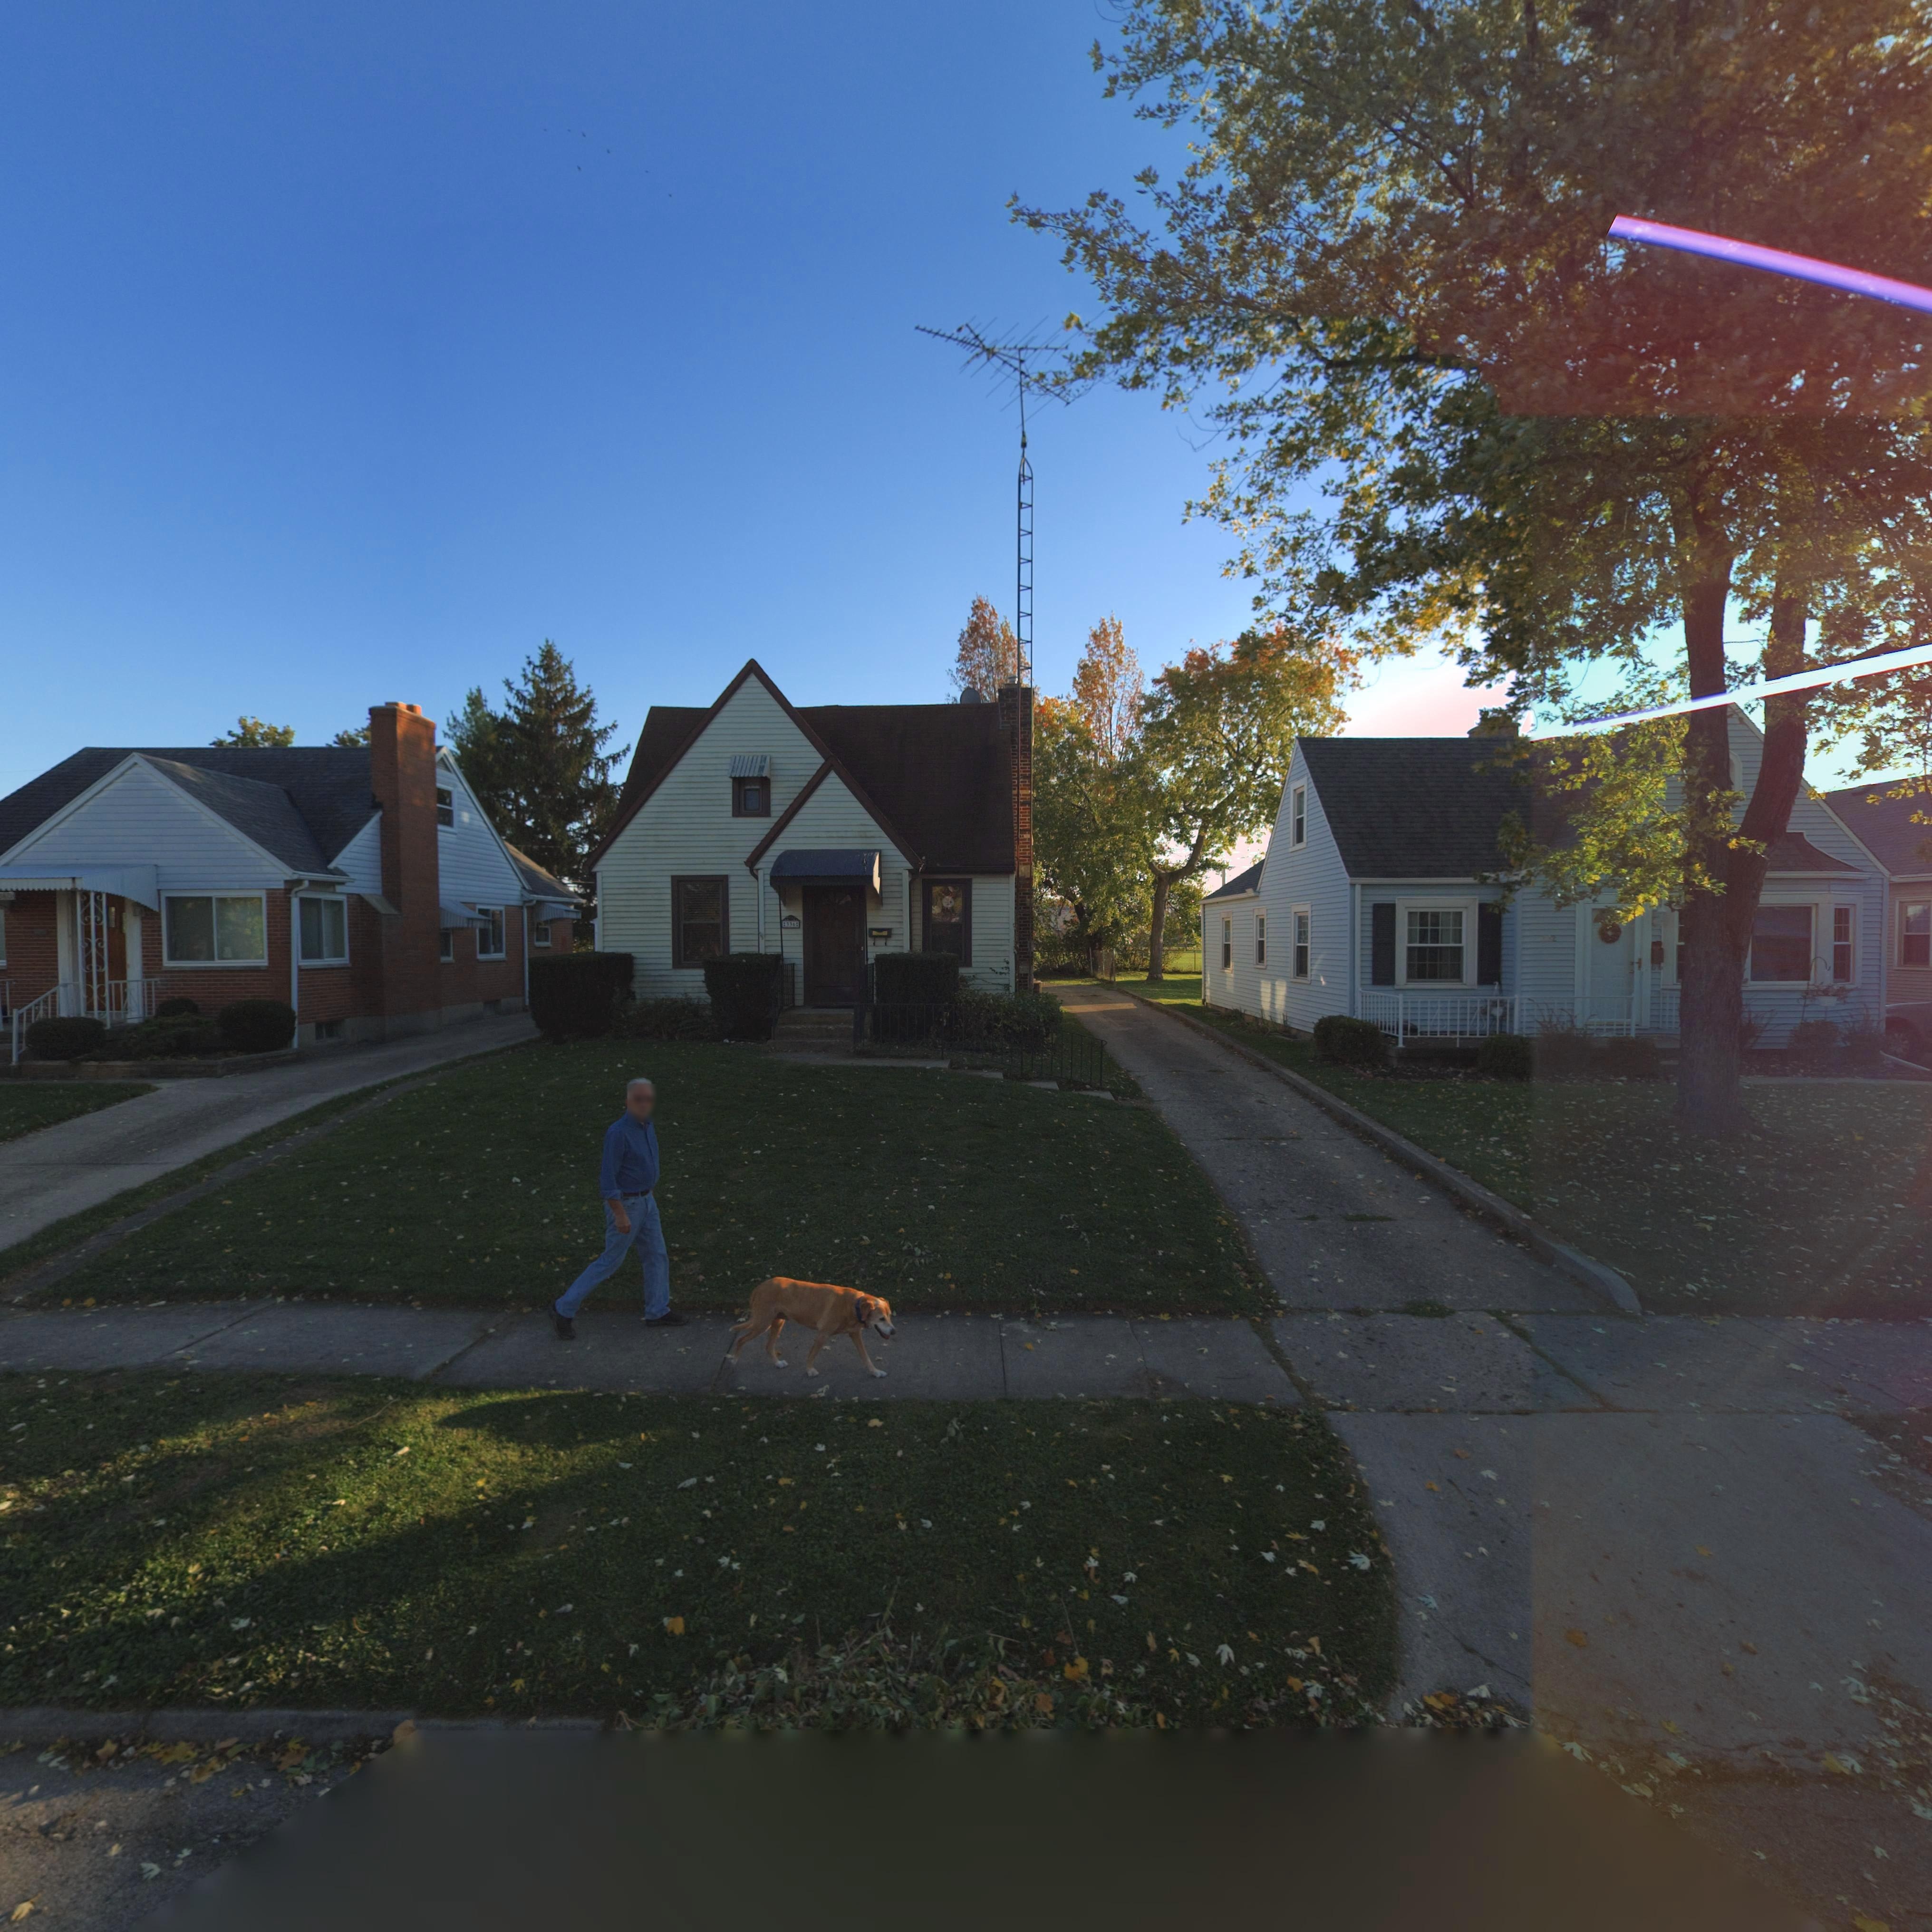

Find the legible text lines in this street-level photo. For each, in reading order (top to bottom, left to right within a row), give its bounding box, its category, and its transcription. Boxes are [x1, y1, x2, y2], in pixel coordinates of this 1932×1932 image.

[785, 921, 796, 927] StreetNumber: 336
[1541, 935, 1557, 943] StreetNumber: **2